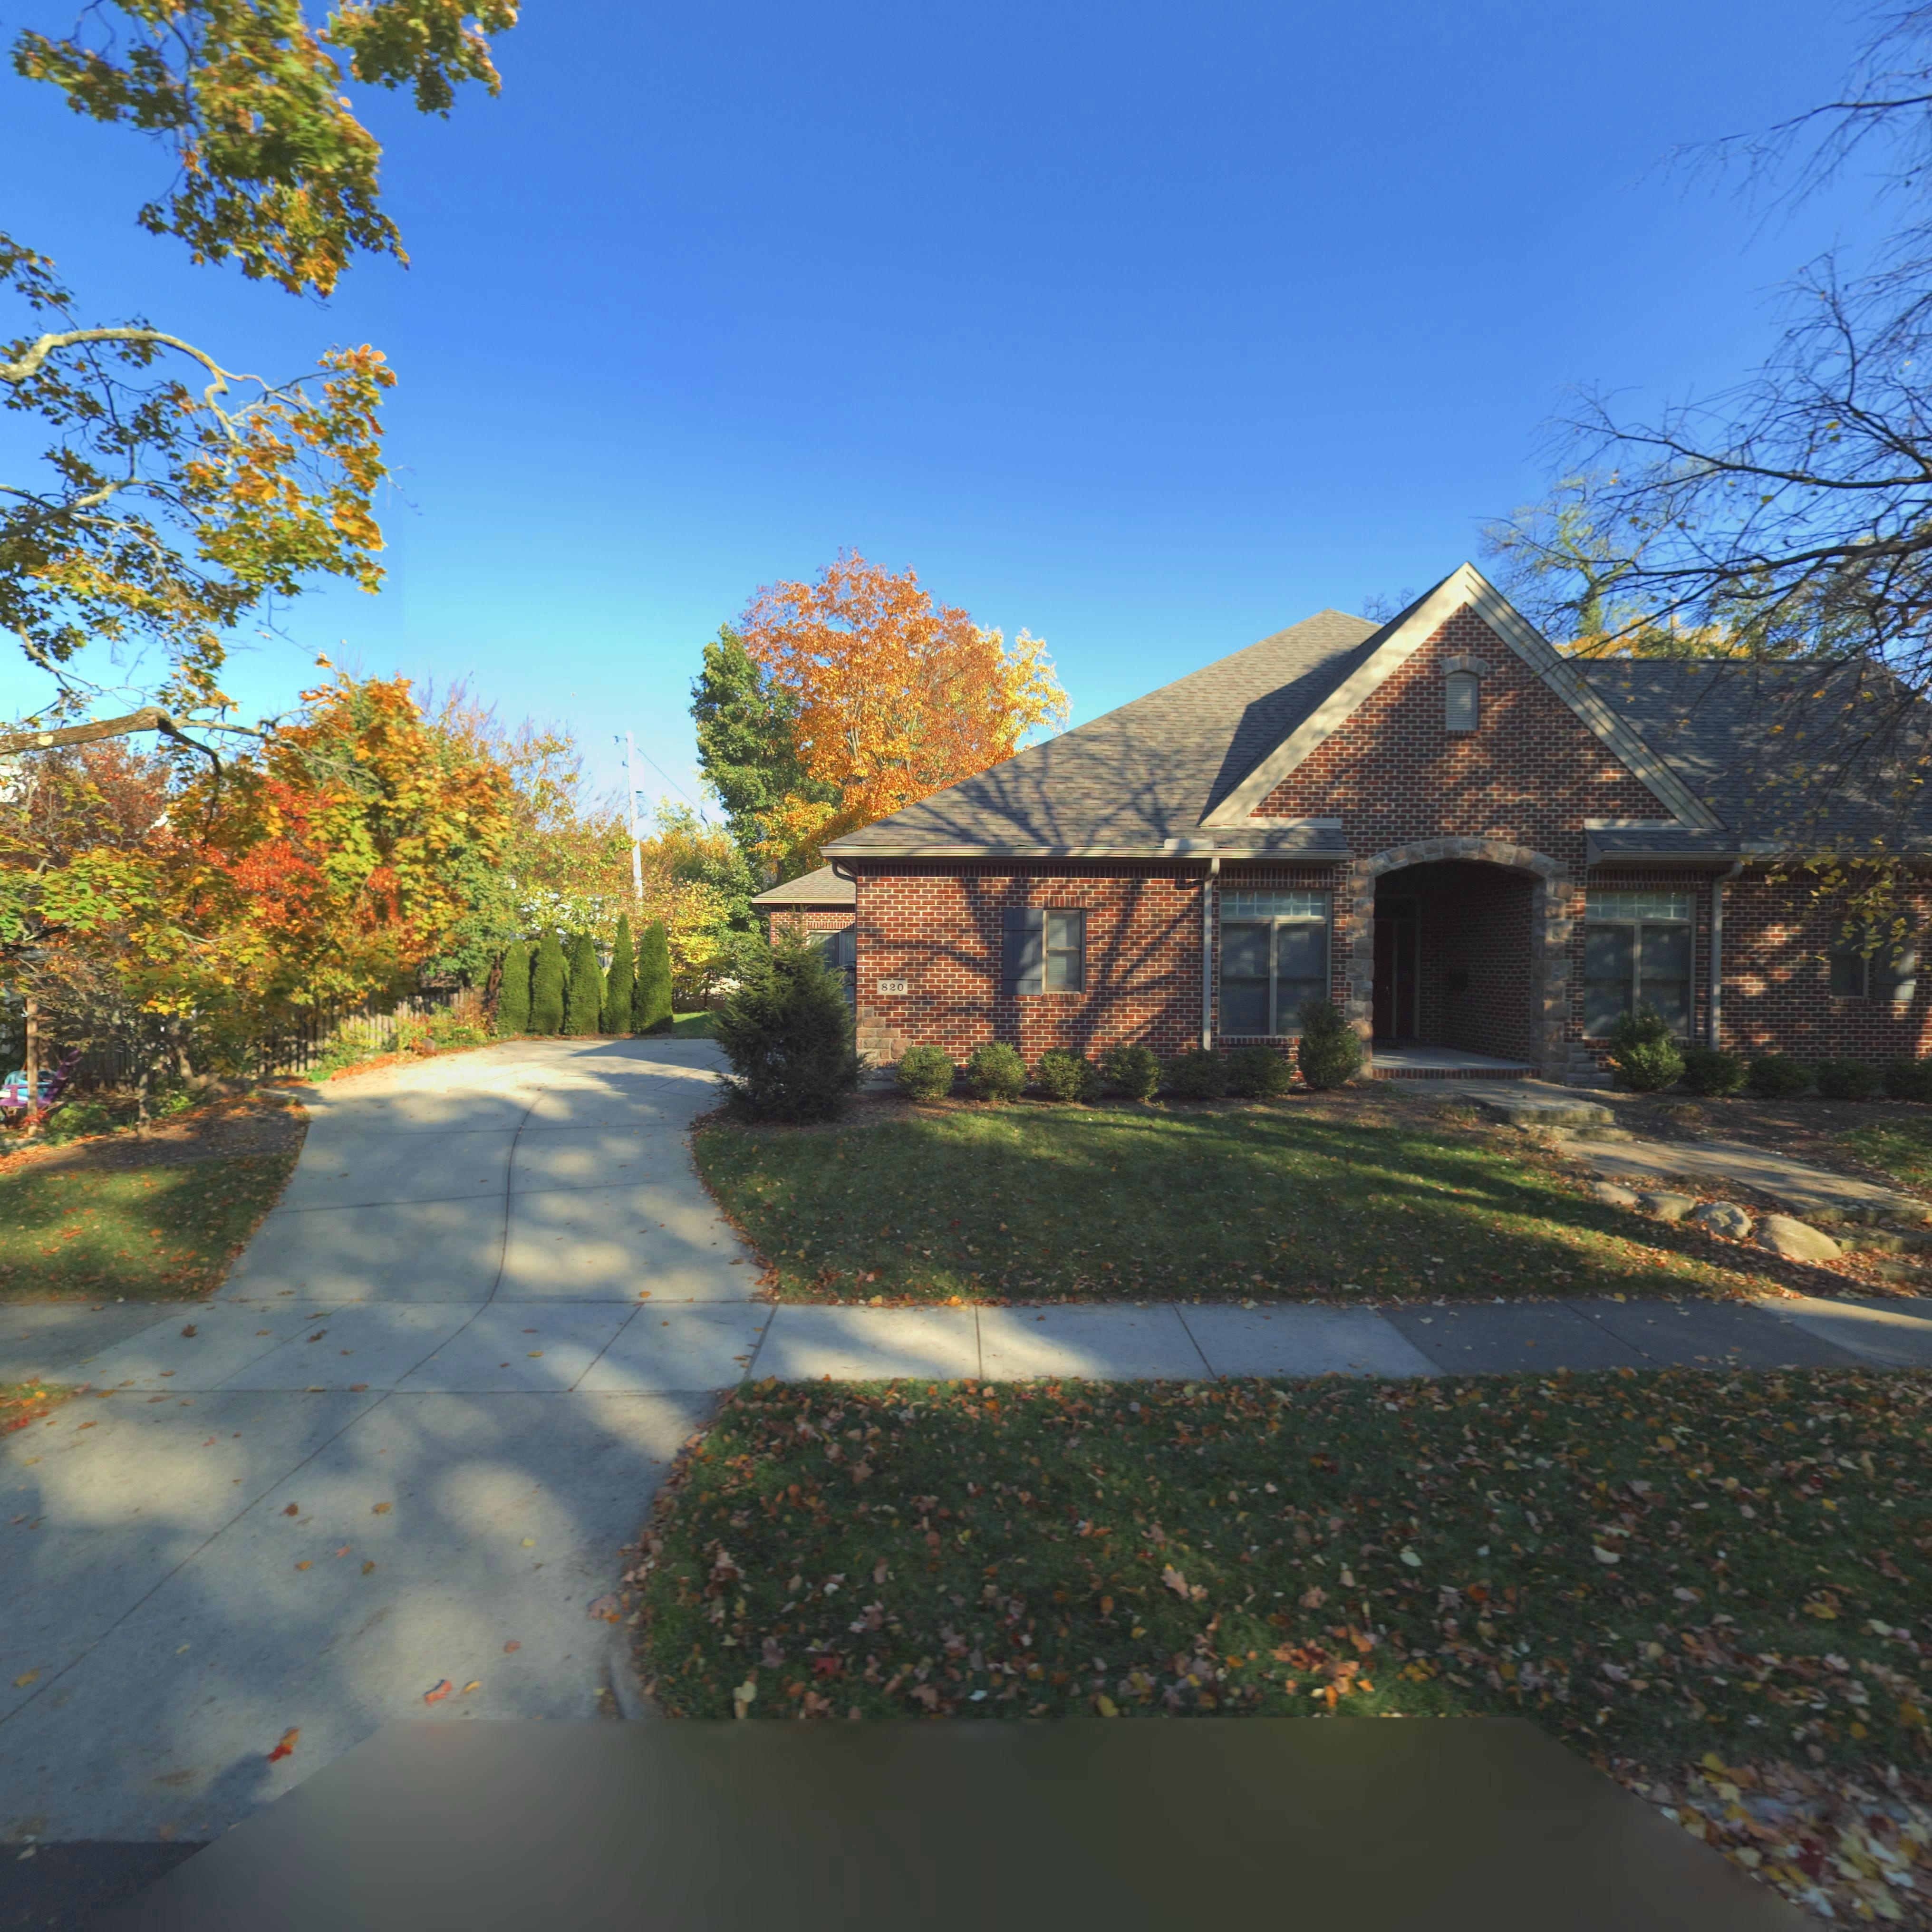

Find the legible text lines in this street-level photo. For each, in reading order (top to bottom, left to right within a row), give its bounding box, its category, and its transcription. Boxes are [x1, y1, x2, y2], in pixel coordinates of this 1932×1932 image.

[881, 983, 904, 992] StreetNumber: 820